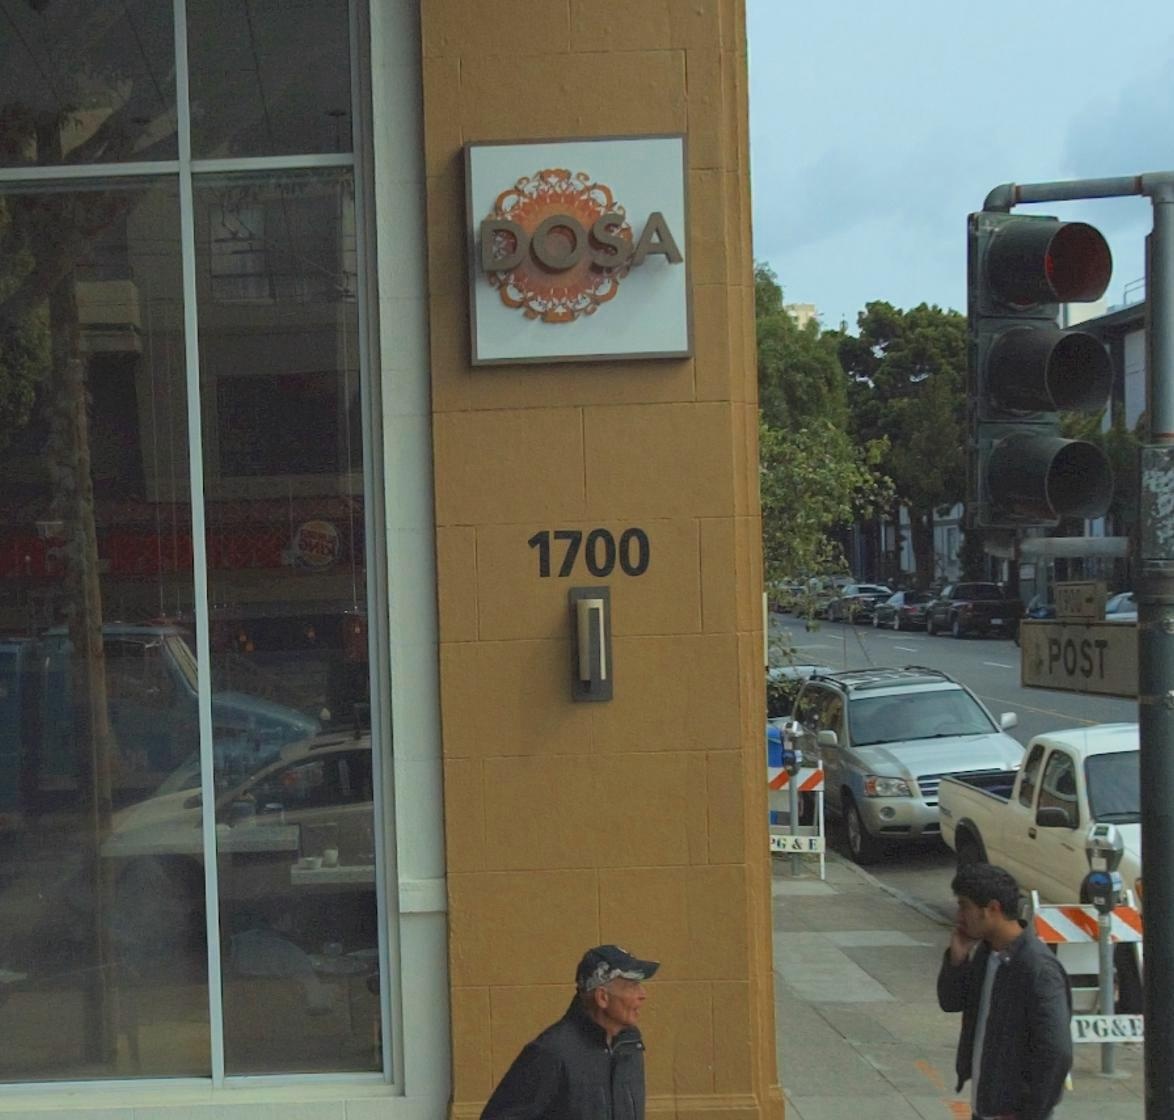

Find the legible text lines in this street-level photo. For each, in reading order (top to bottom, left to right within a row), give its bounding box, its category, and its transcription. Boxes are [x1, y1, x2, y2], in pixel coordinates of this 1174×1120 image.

[477, 208, 688, 277] BusinessName: DOSA
[296, 536, 337, 560] None: **I*
[524, 526, 653, 580] StreetNumber: 1700
[1055, 584, 1098, 617] StreetNumberRange: 1900->
[1045, 633, 1112, 683] StreetName: POST
[775, 835, 820, 853] None: G & E
[1072, 1015, 1147, 1041] None: PG&E